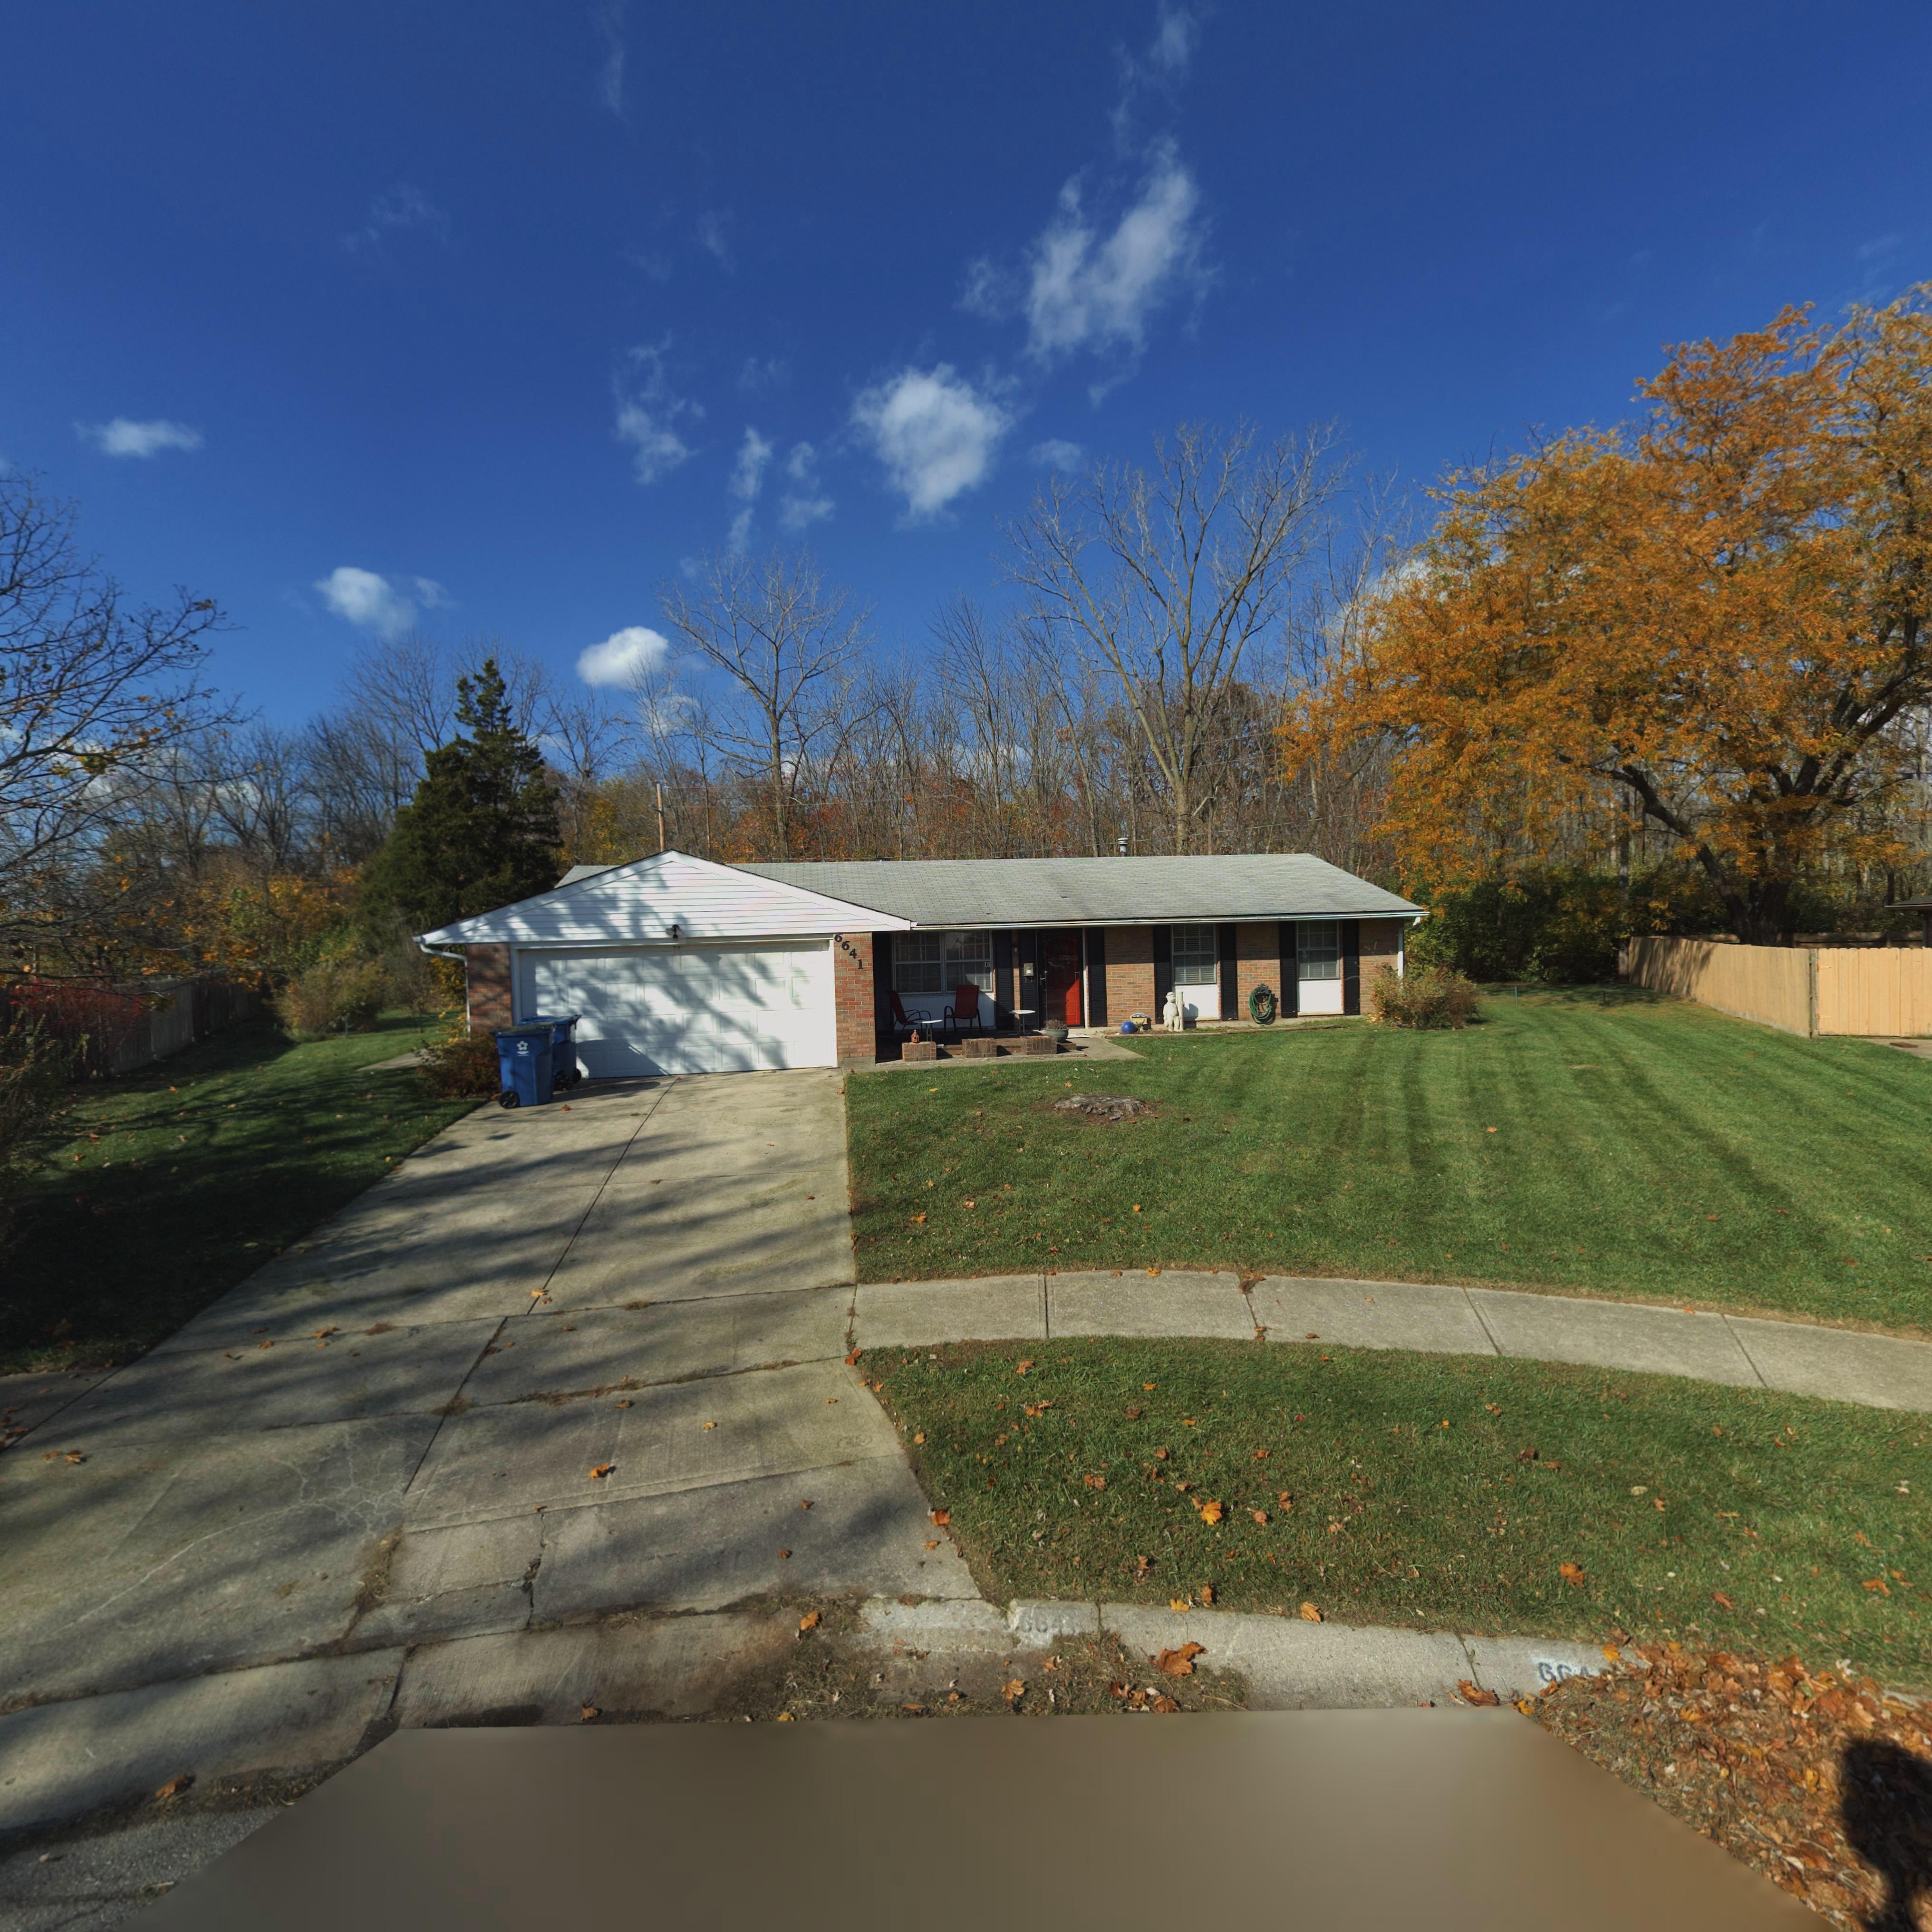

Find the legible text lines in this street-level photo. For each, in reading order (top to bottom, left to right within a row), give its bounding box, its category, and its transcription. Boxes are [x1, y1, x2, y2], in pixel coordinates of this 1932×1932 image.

[833, 932, 864, 969] StreetNumber: 6641